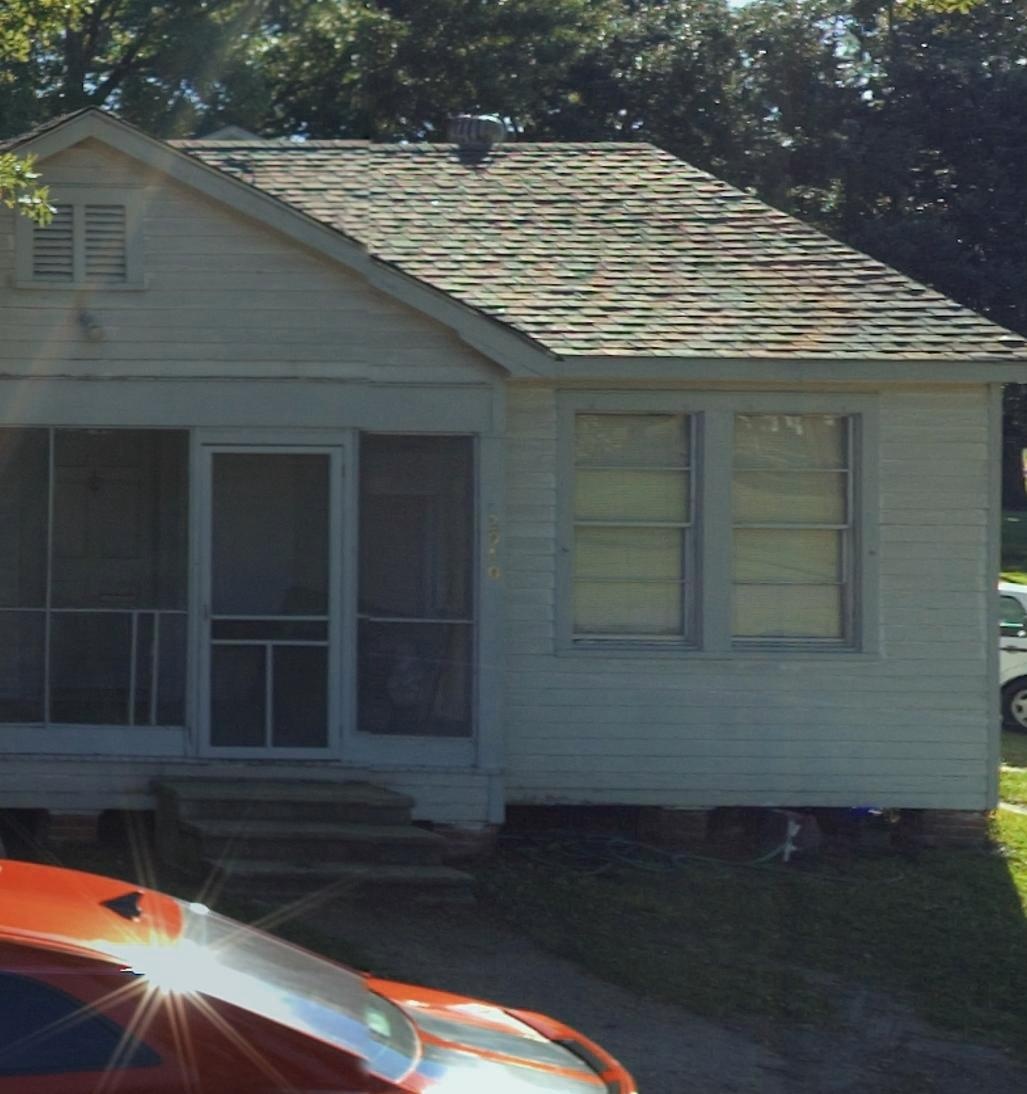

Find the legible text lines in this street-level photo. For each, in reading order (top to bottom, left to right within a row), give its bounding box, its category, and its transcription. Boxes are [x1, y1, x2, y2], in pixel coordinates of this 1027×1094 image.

[482, 511, 505, 583] StreetNumber: 2**0